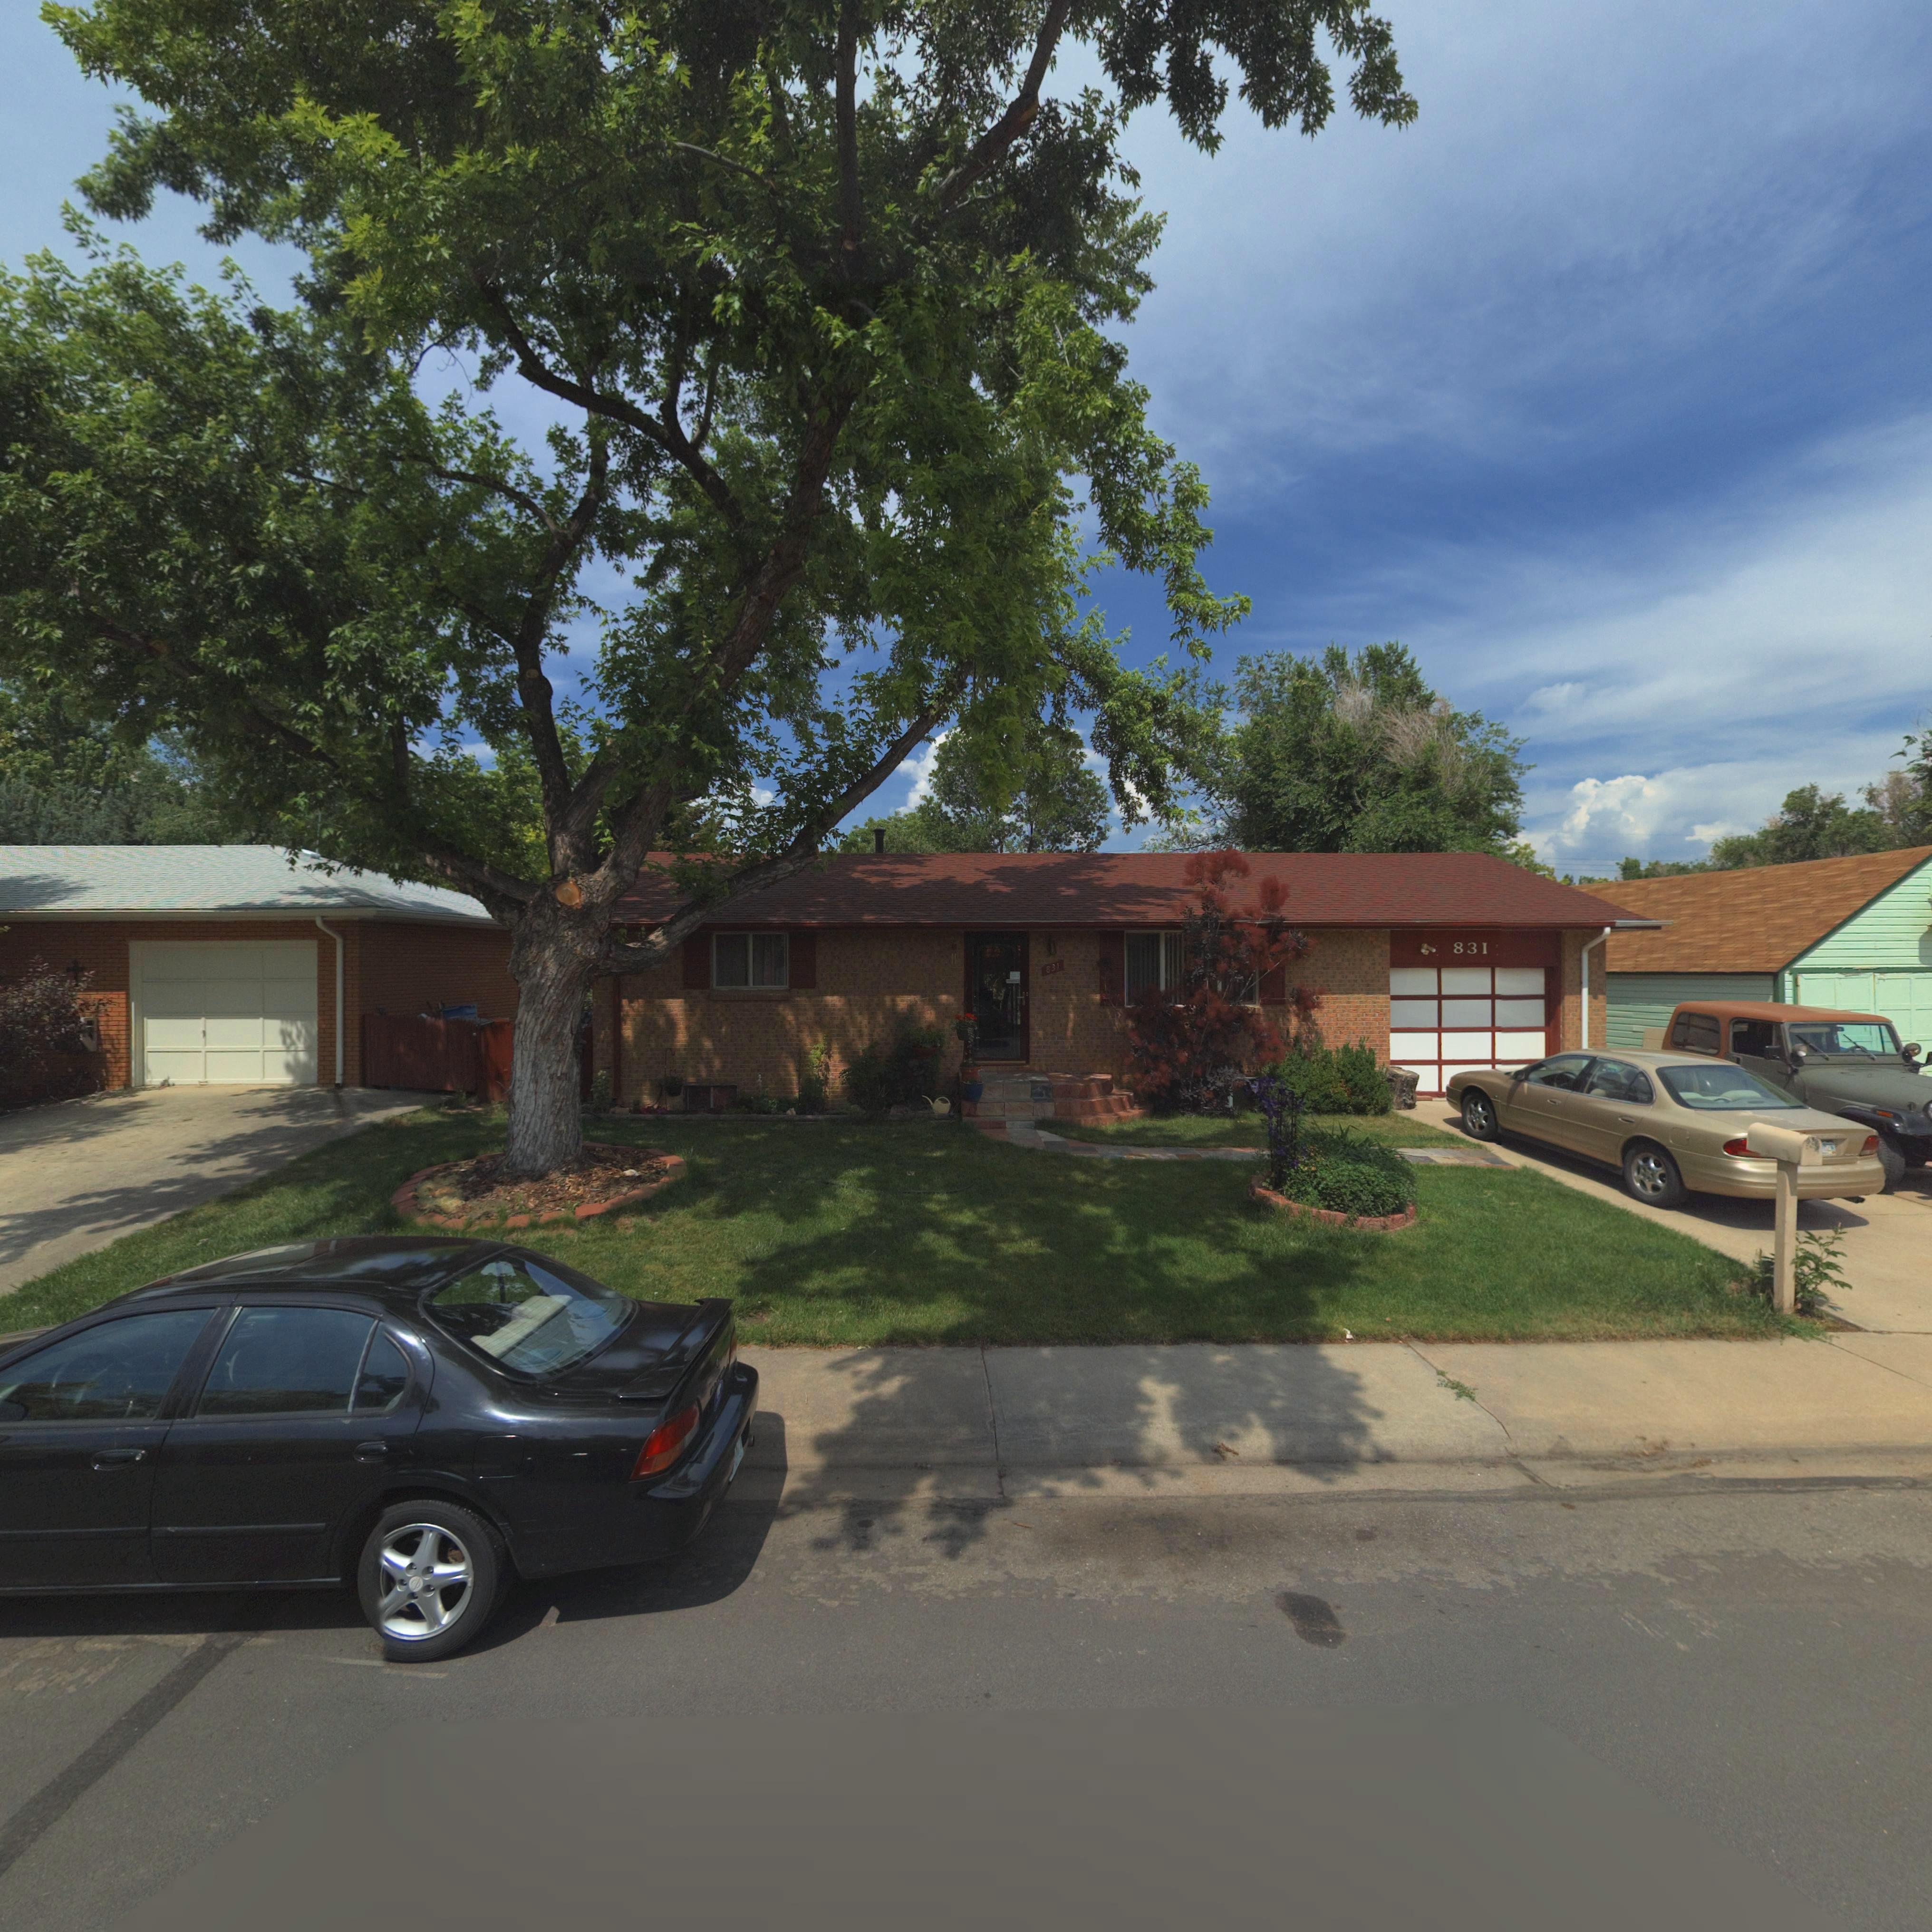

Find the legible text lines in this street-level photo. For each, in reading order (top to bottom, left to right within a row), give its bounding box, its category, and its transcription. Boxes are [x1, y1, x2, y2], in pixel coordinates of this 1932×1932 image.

[1453, 942, 1487, 954] StreetNumber: 831
[1045, 962, 1059, 973] StreetNumber: 831